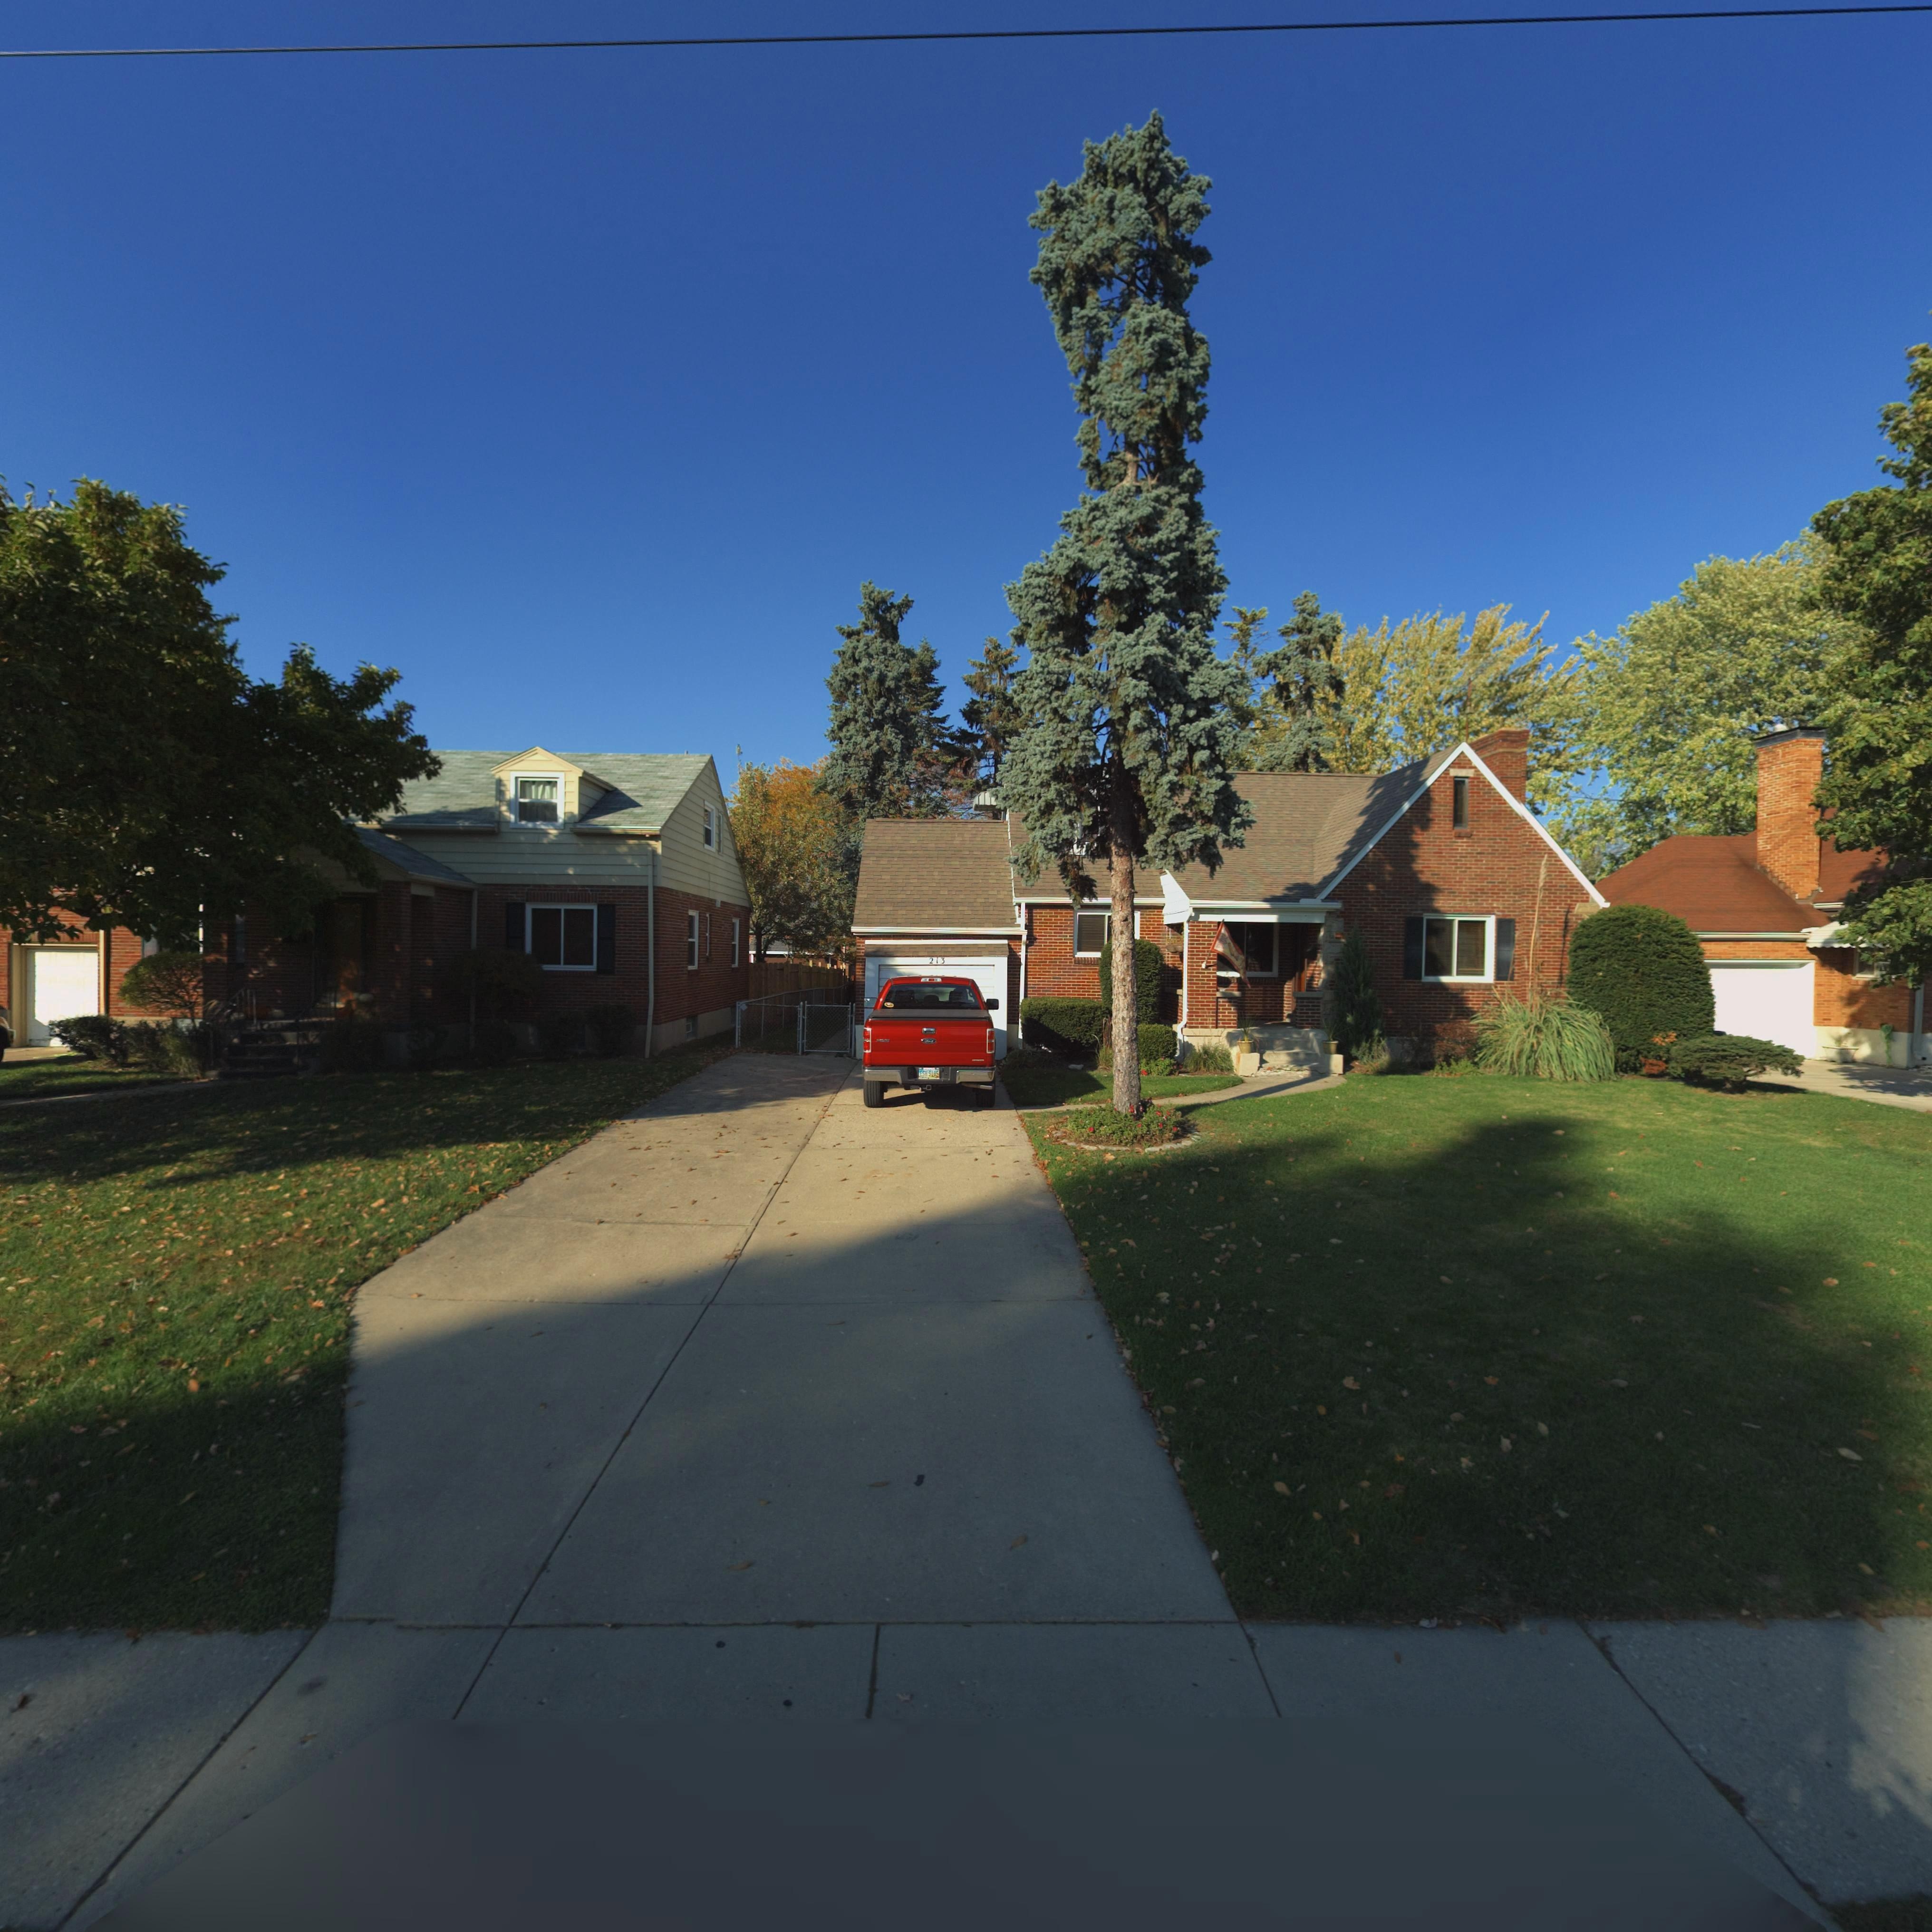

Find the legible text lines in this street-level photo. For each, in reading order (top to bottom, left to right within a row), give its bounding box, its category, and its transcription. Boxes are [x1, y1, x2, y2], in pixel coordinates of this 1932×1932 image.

[928, 956, 946, 966] StreetNumber: 213
[918, 1069, 939, 1078] None: ESH 918*